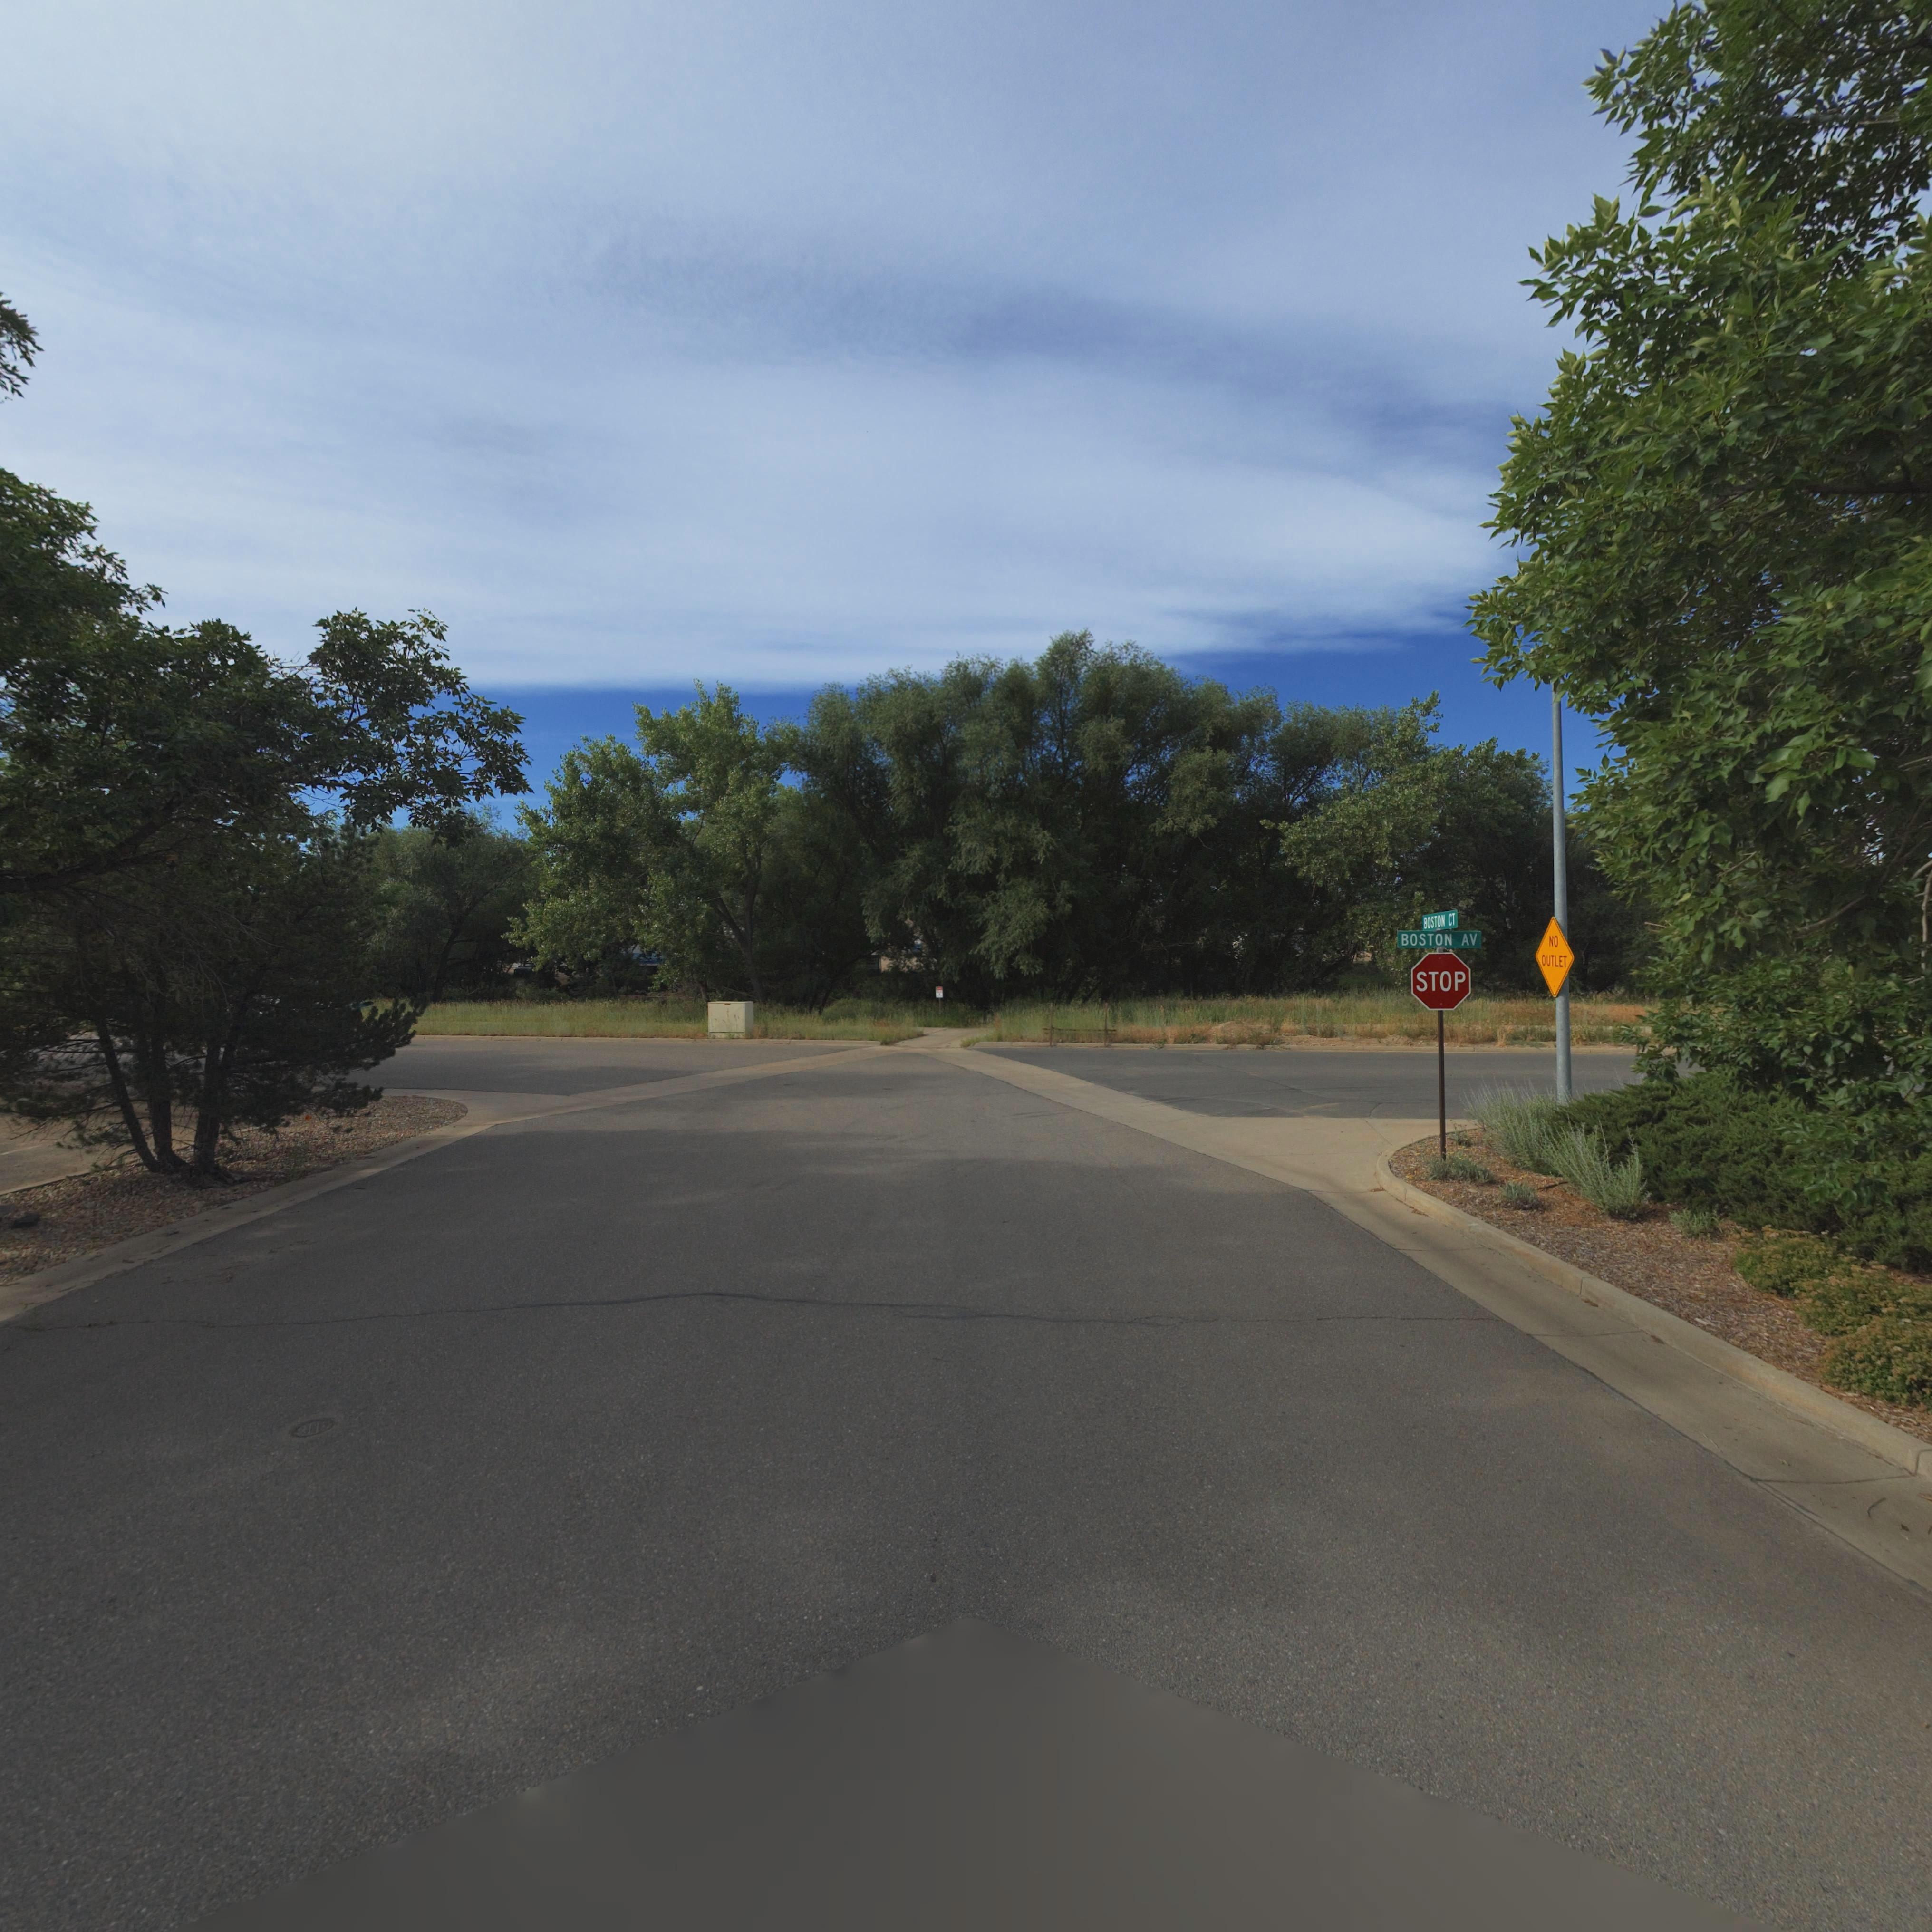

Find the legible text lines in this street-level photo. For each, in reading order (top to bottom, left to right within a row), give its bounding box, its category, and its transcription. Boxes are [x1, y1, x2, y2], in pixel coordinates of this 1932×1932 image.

[1423, 912, 1455, 929] StreetName: BOSTON CT
[1401, 933, 1478, 946] StreetName: BOSTON AV